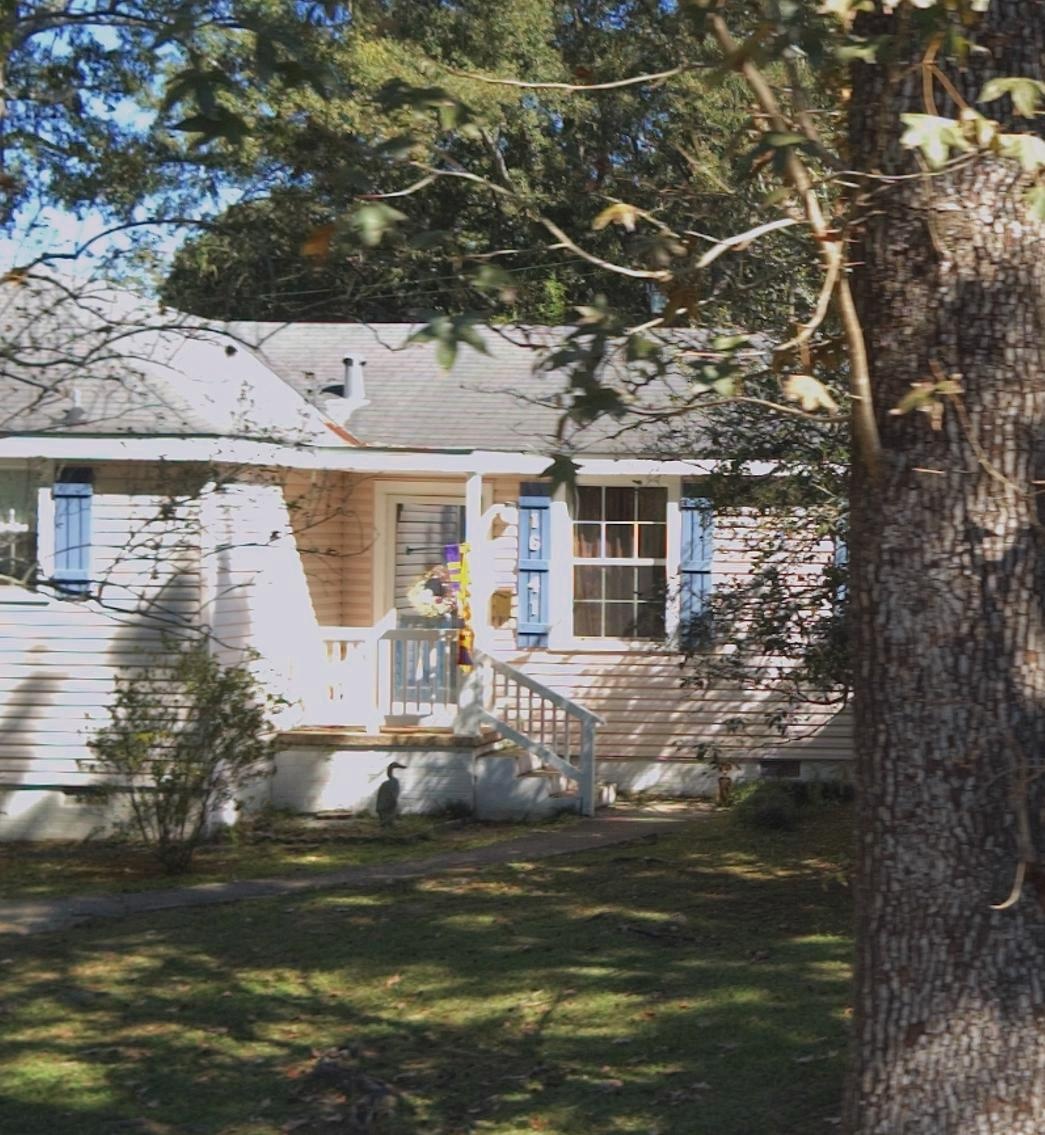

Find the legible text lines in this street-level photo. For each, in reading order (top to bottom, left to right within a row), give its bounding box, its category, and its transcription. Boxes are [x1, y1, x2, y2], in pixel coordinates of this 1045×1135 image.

[526, 512, 541, 616] StreetNumber: 16*41